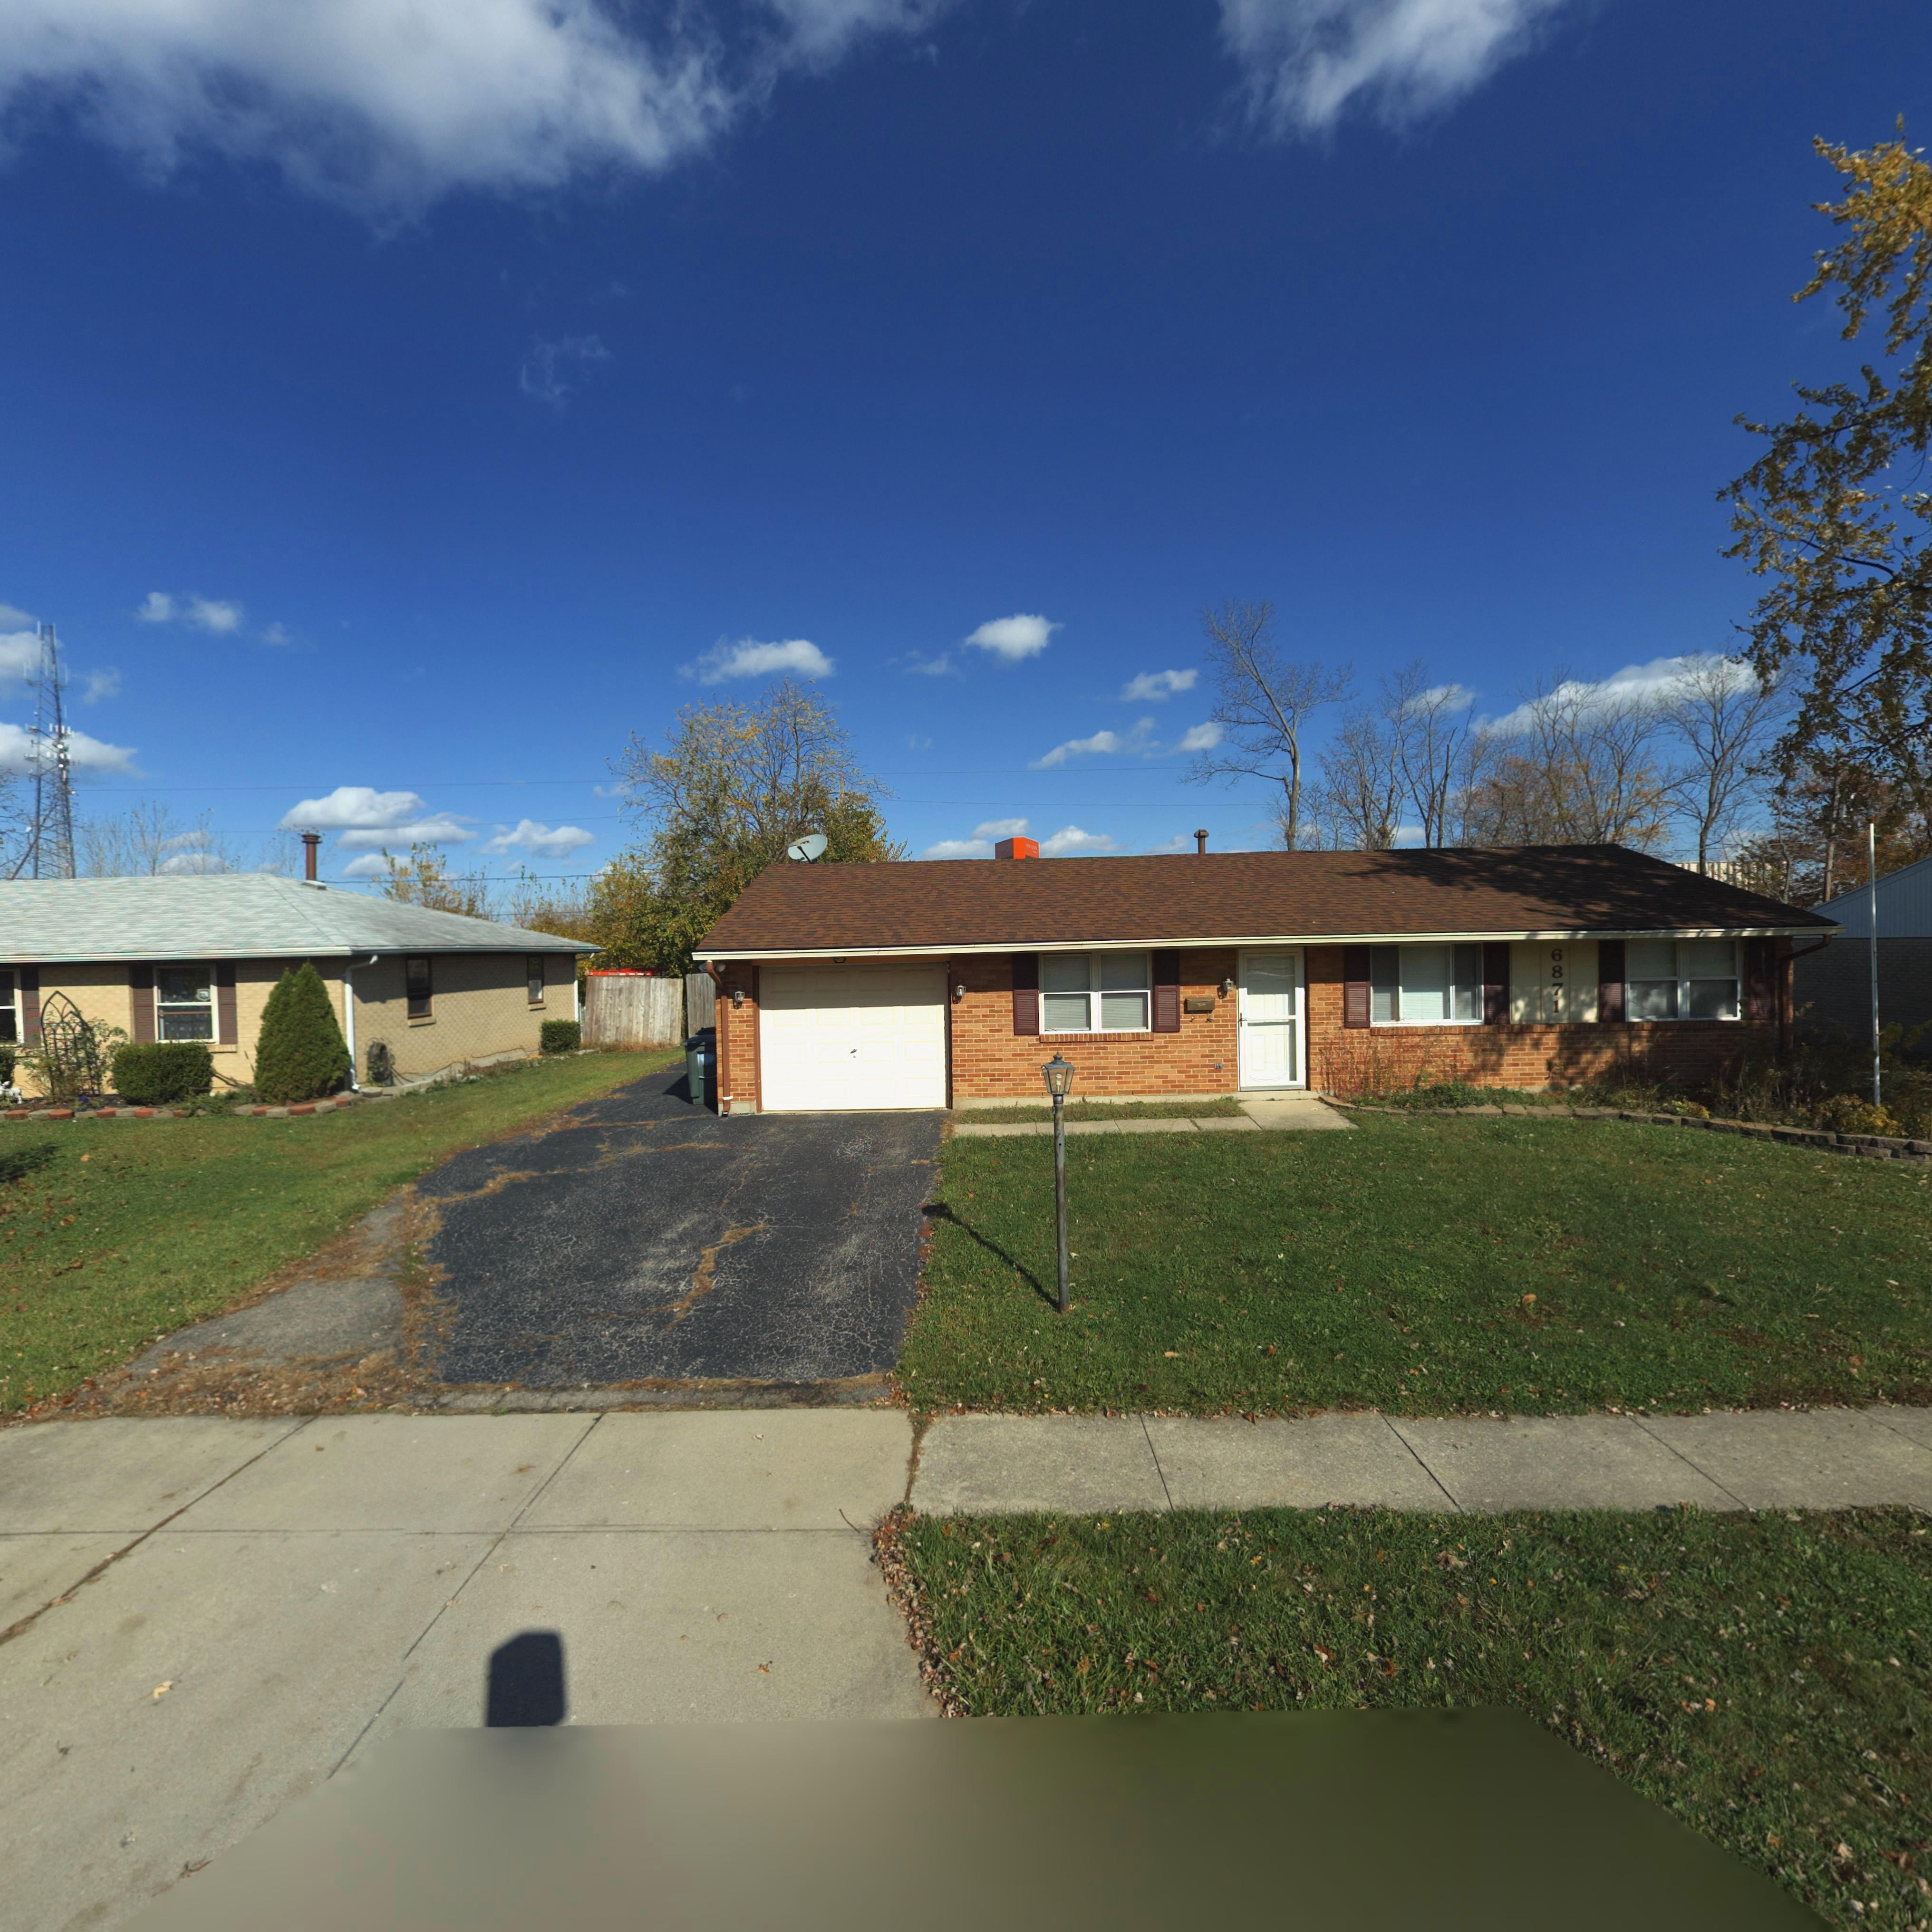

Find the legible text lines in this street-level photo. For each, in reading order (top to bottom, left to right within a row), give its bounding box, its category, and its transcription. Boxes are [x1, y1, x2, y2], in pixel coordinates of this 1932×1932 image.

[1549, 947, 1565, 1015] StreetNumber: 6871